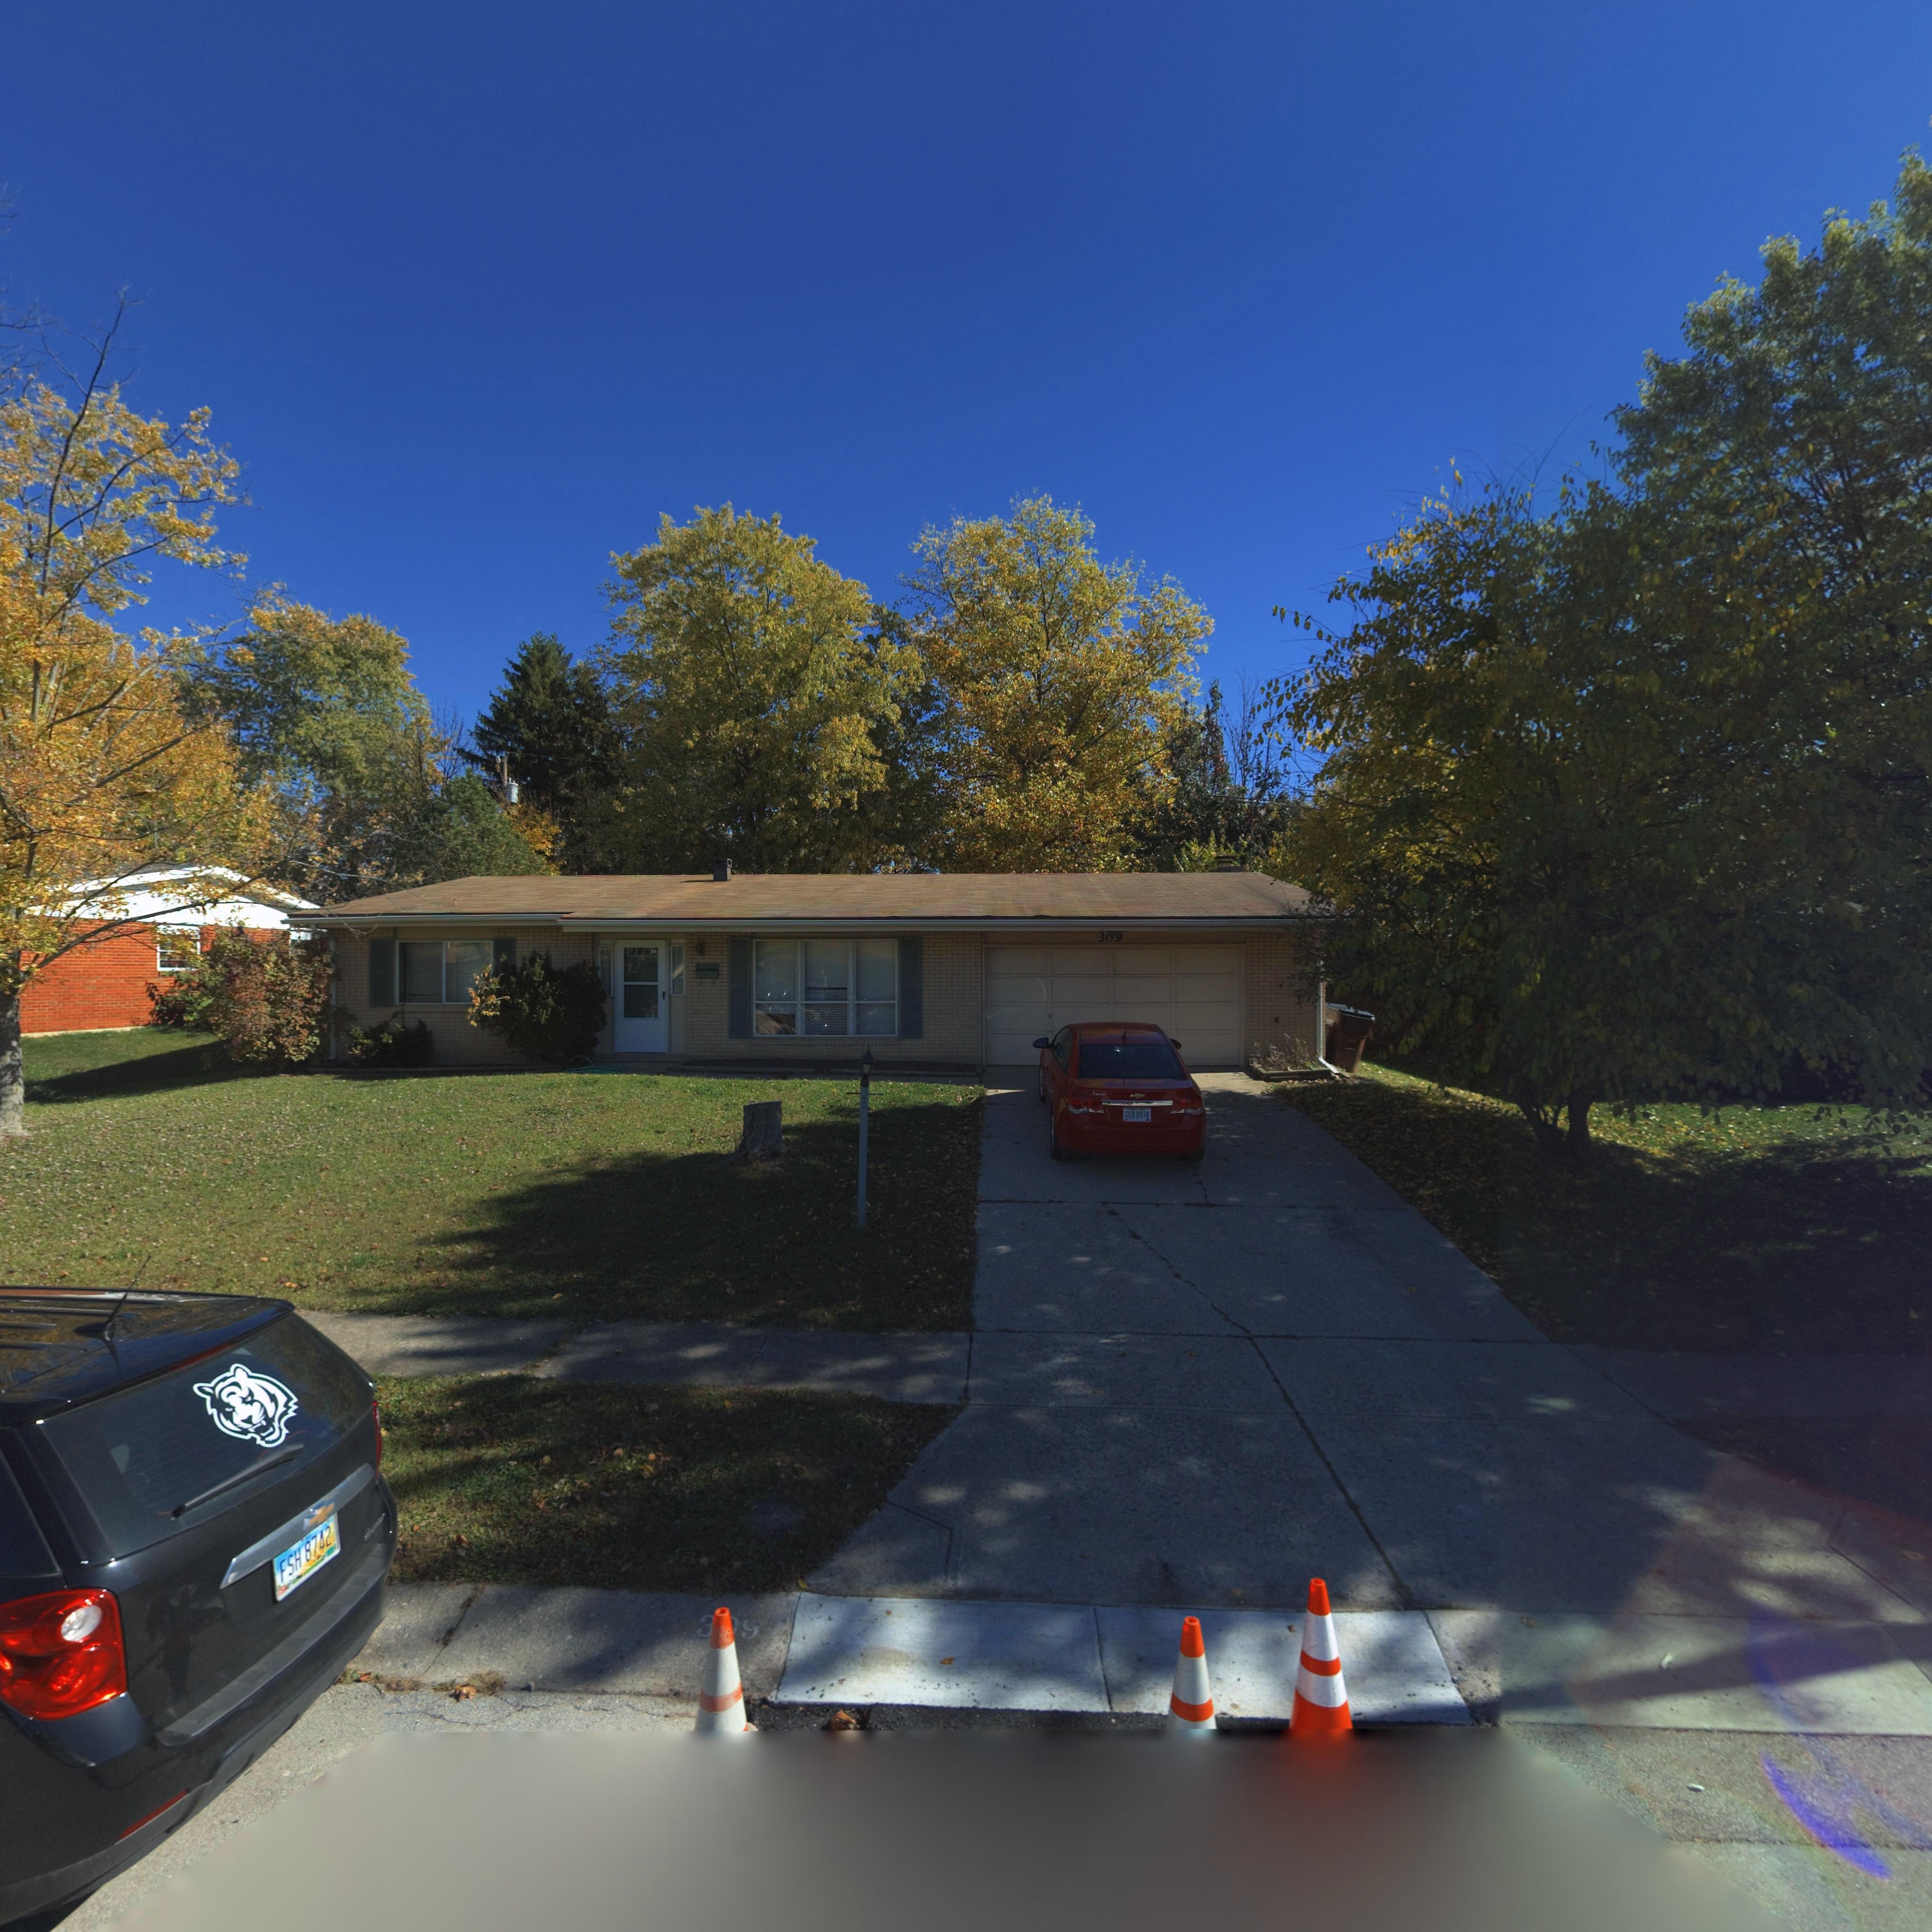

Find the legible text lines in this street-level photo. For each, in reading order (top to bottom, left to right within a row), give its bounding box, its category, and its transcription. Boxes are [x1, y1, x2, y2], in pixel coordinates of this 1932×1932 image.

[1097, 932, 1124, 942] StreetNumber: 309
[696, 1613, 763, 1642] StreetNumber: 3*9